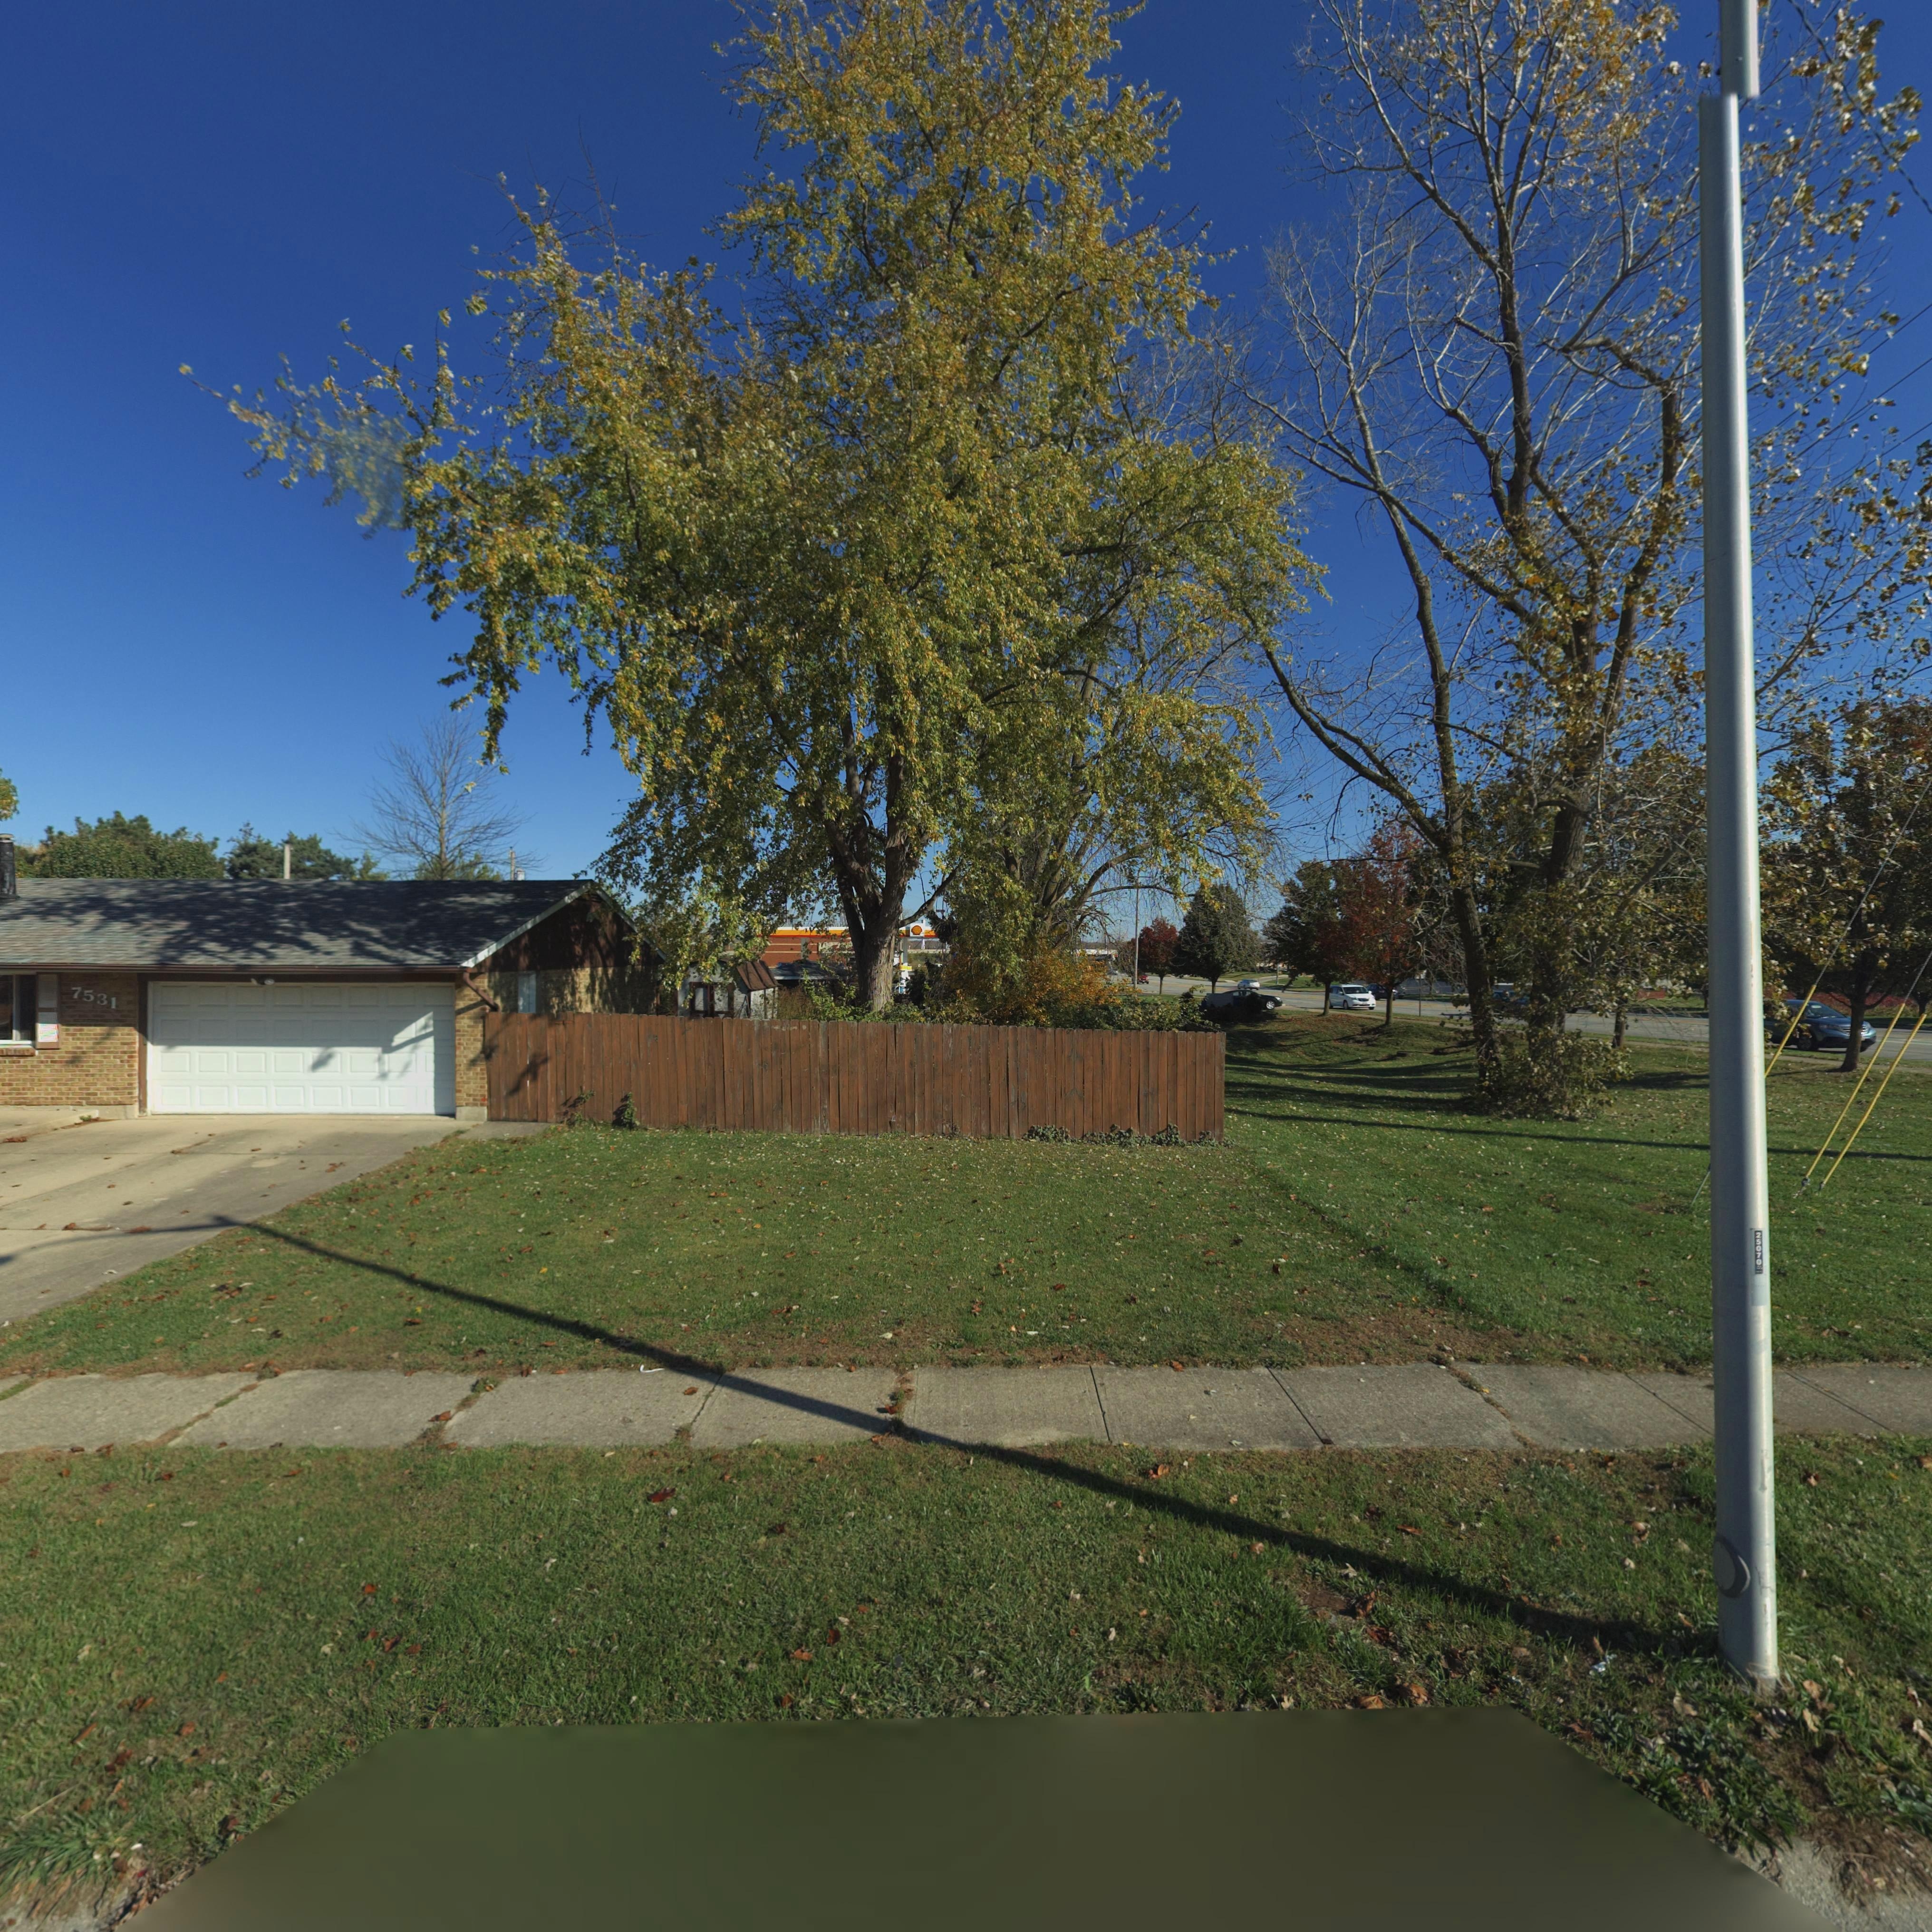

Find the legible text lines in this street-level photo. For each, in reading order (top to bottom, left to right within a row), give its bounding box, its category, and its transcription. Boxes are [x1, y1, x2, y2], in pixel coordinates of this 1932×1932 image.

[68, 985, 118, 1012] StreetNumber: 7531